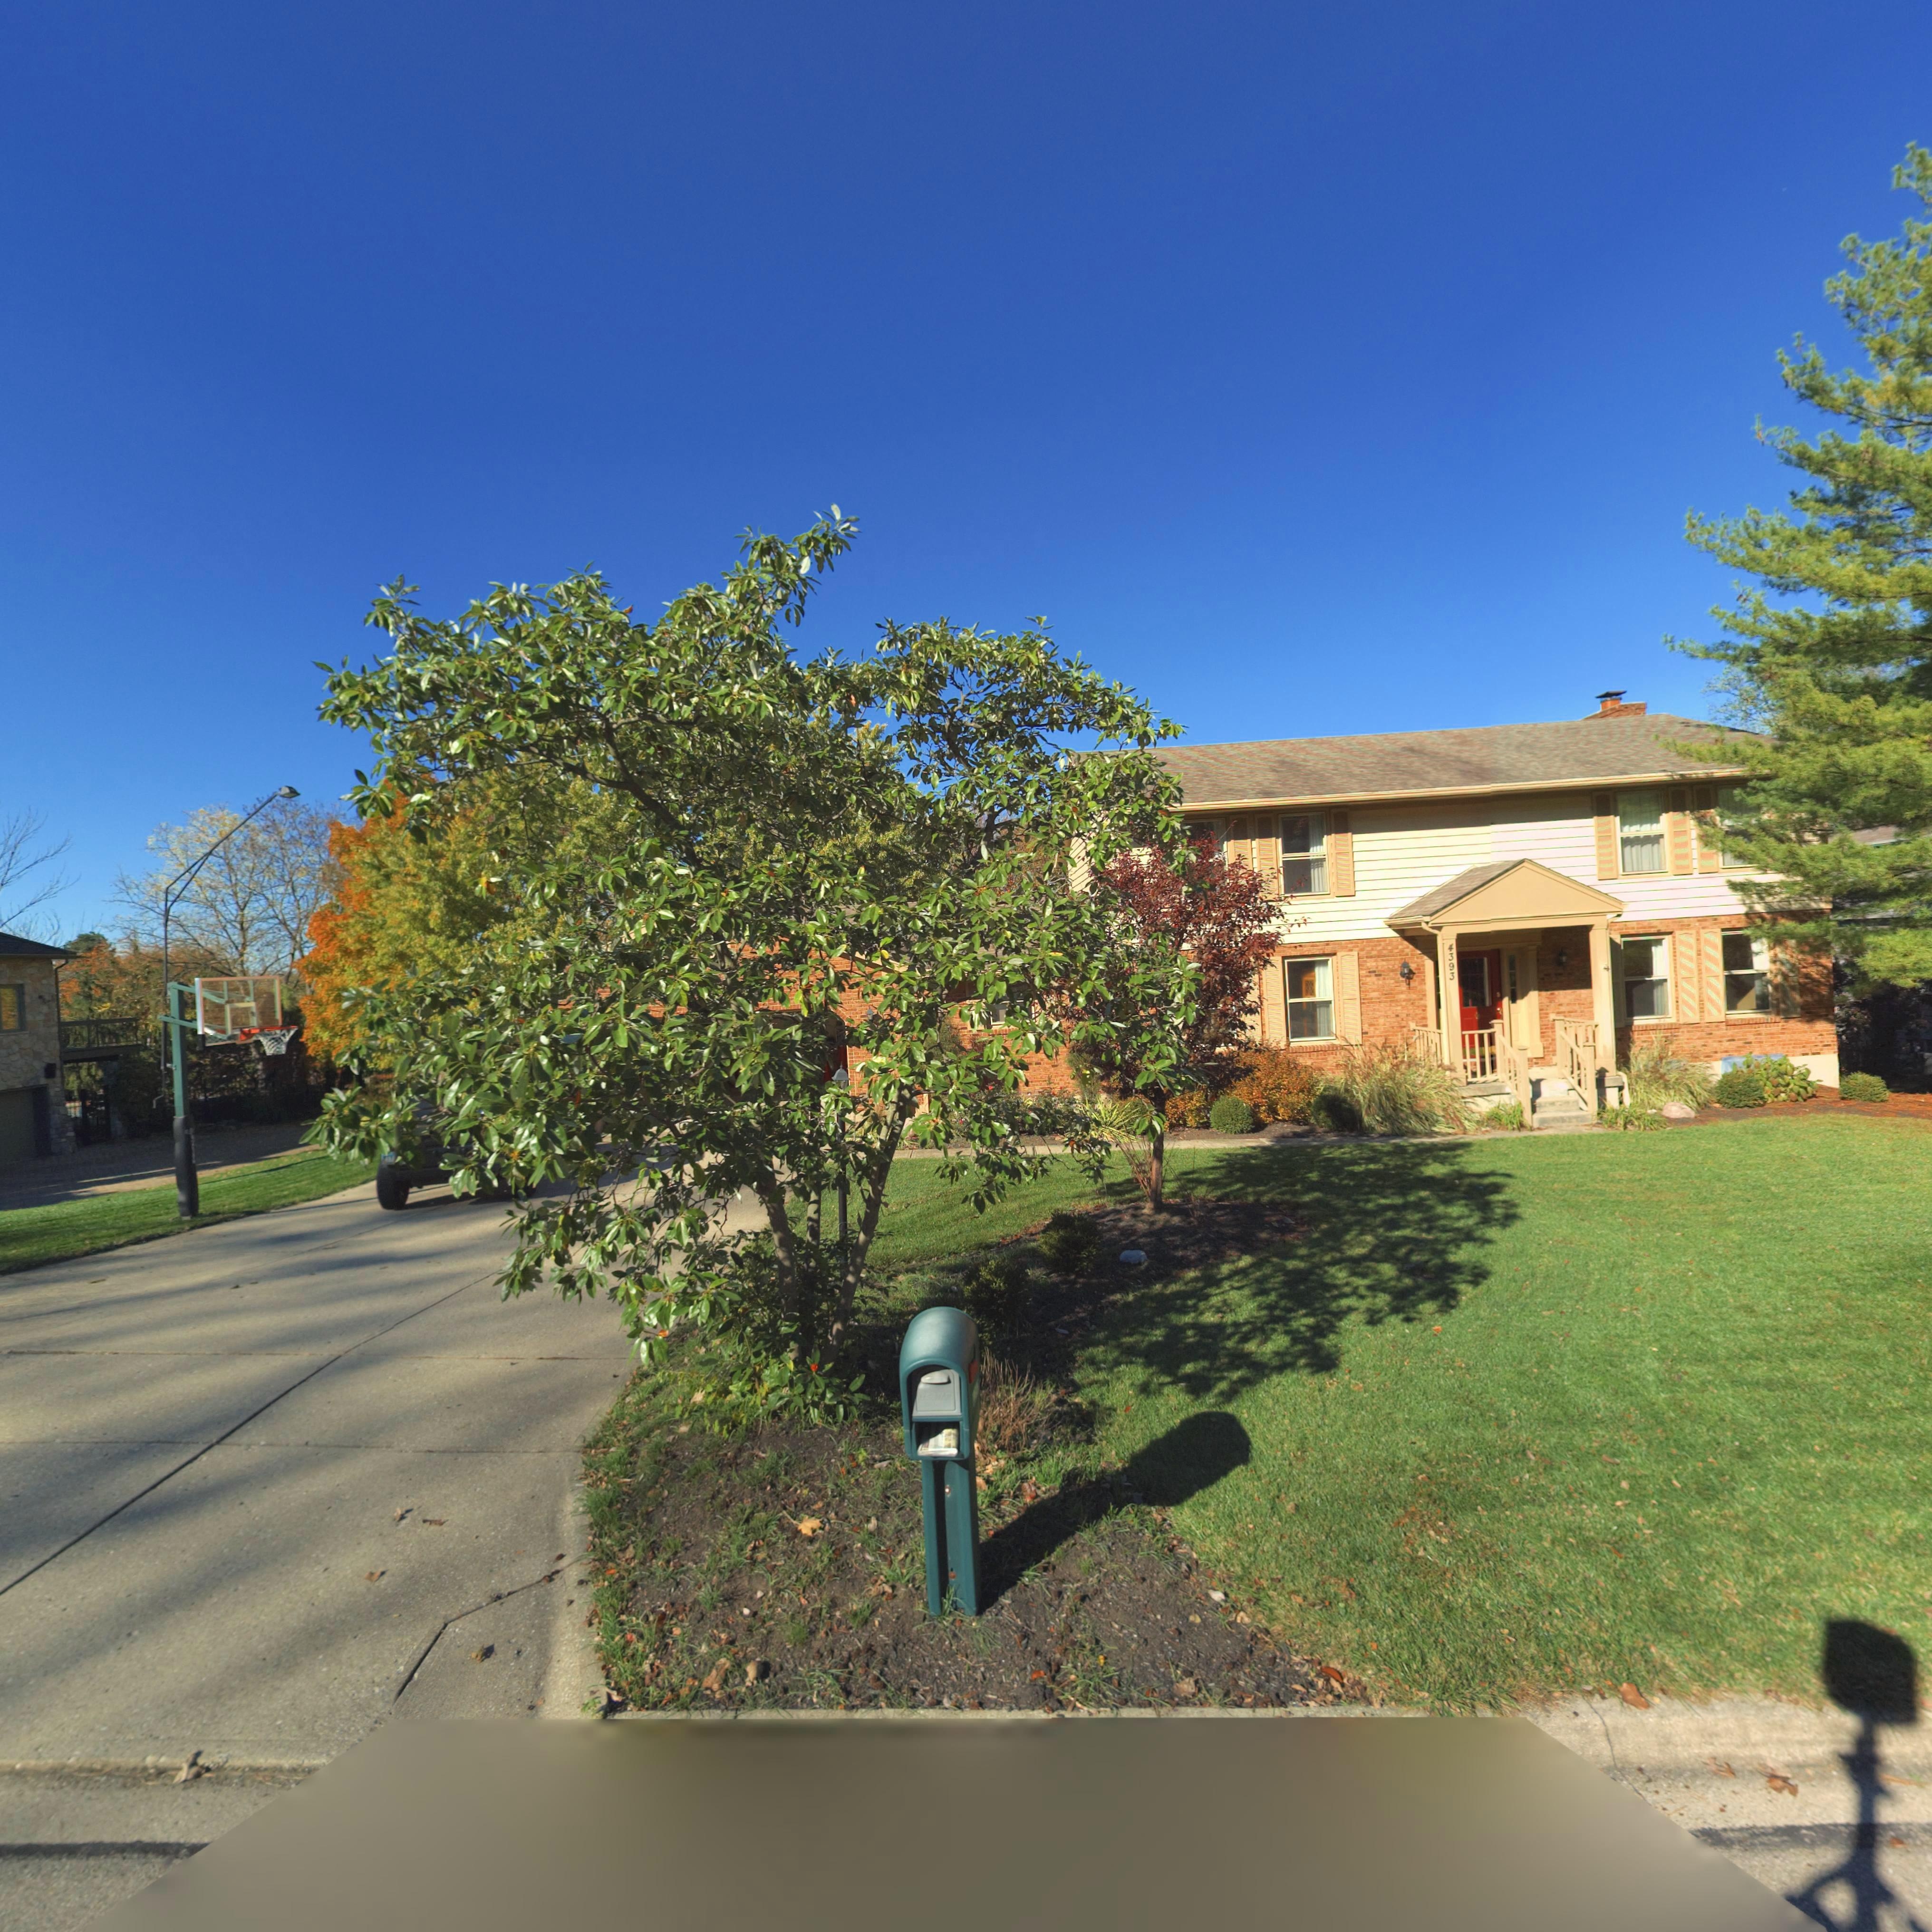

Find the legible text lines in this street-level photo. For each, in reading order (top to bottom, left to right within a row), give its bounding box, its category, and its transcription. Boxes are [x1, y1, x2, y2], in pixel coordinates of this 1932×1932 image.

[1447, 942, 1457, 981] StreetNumber: 4393